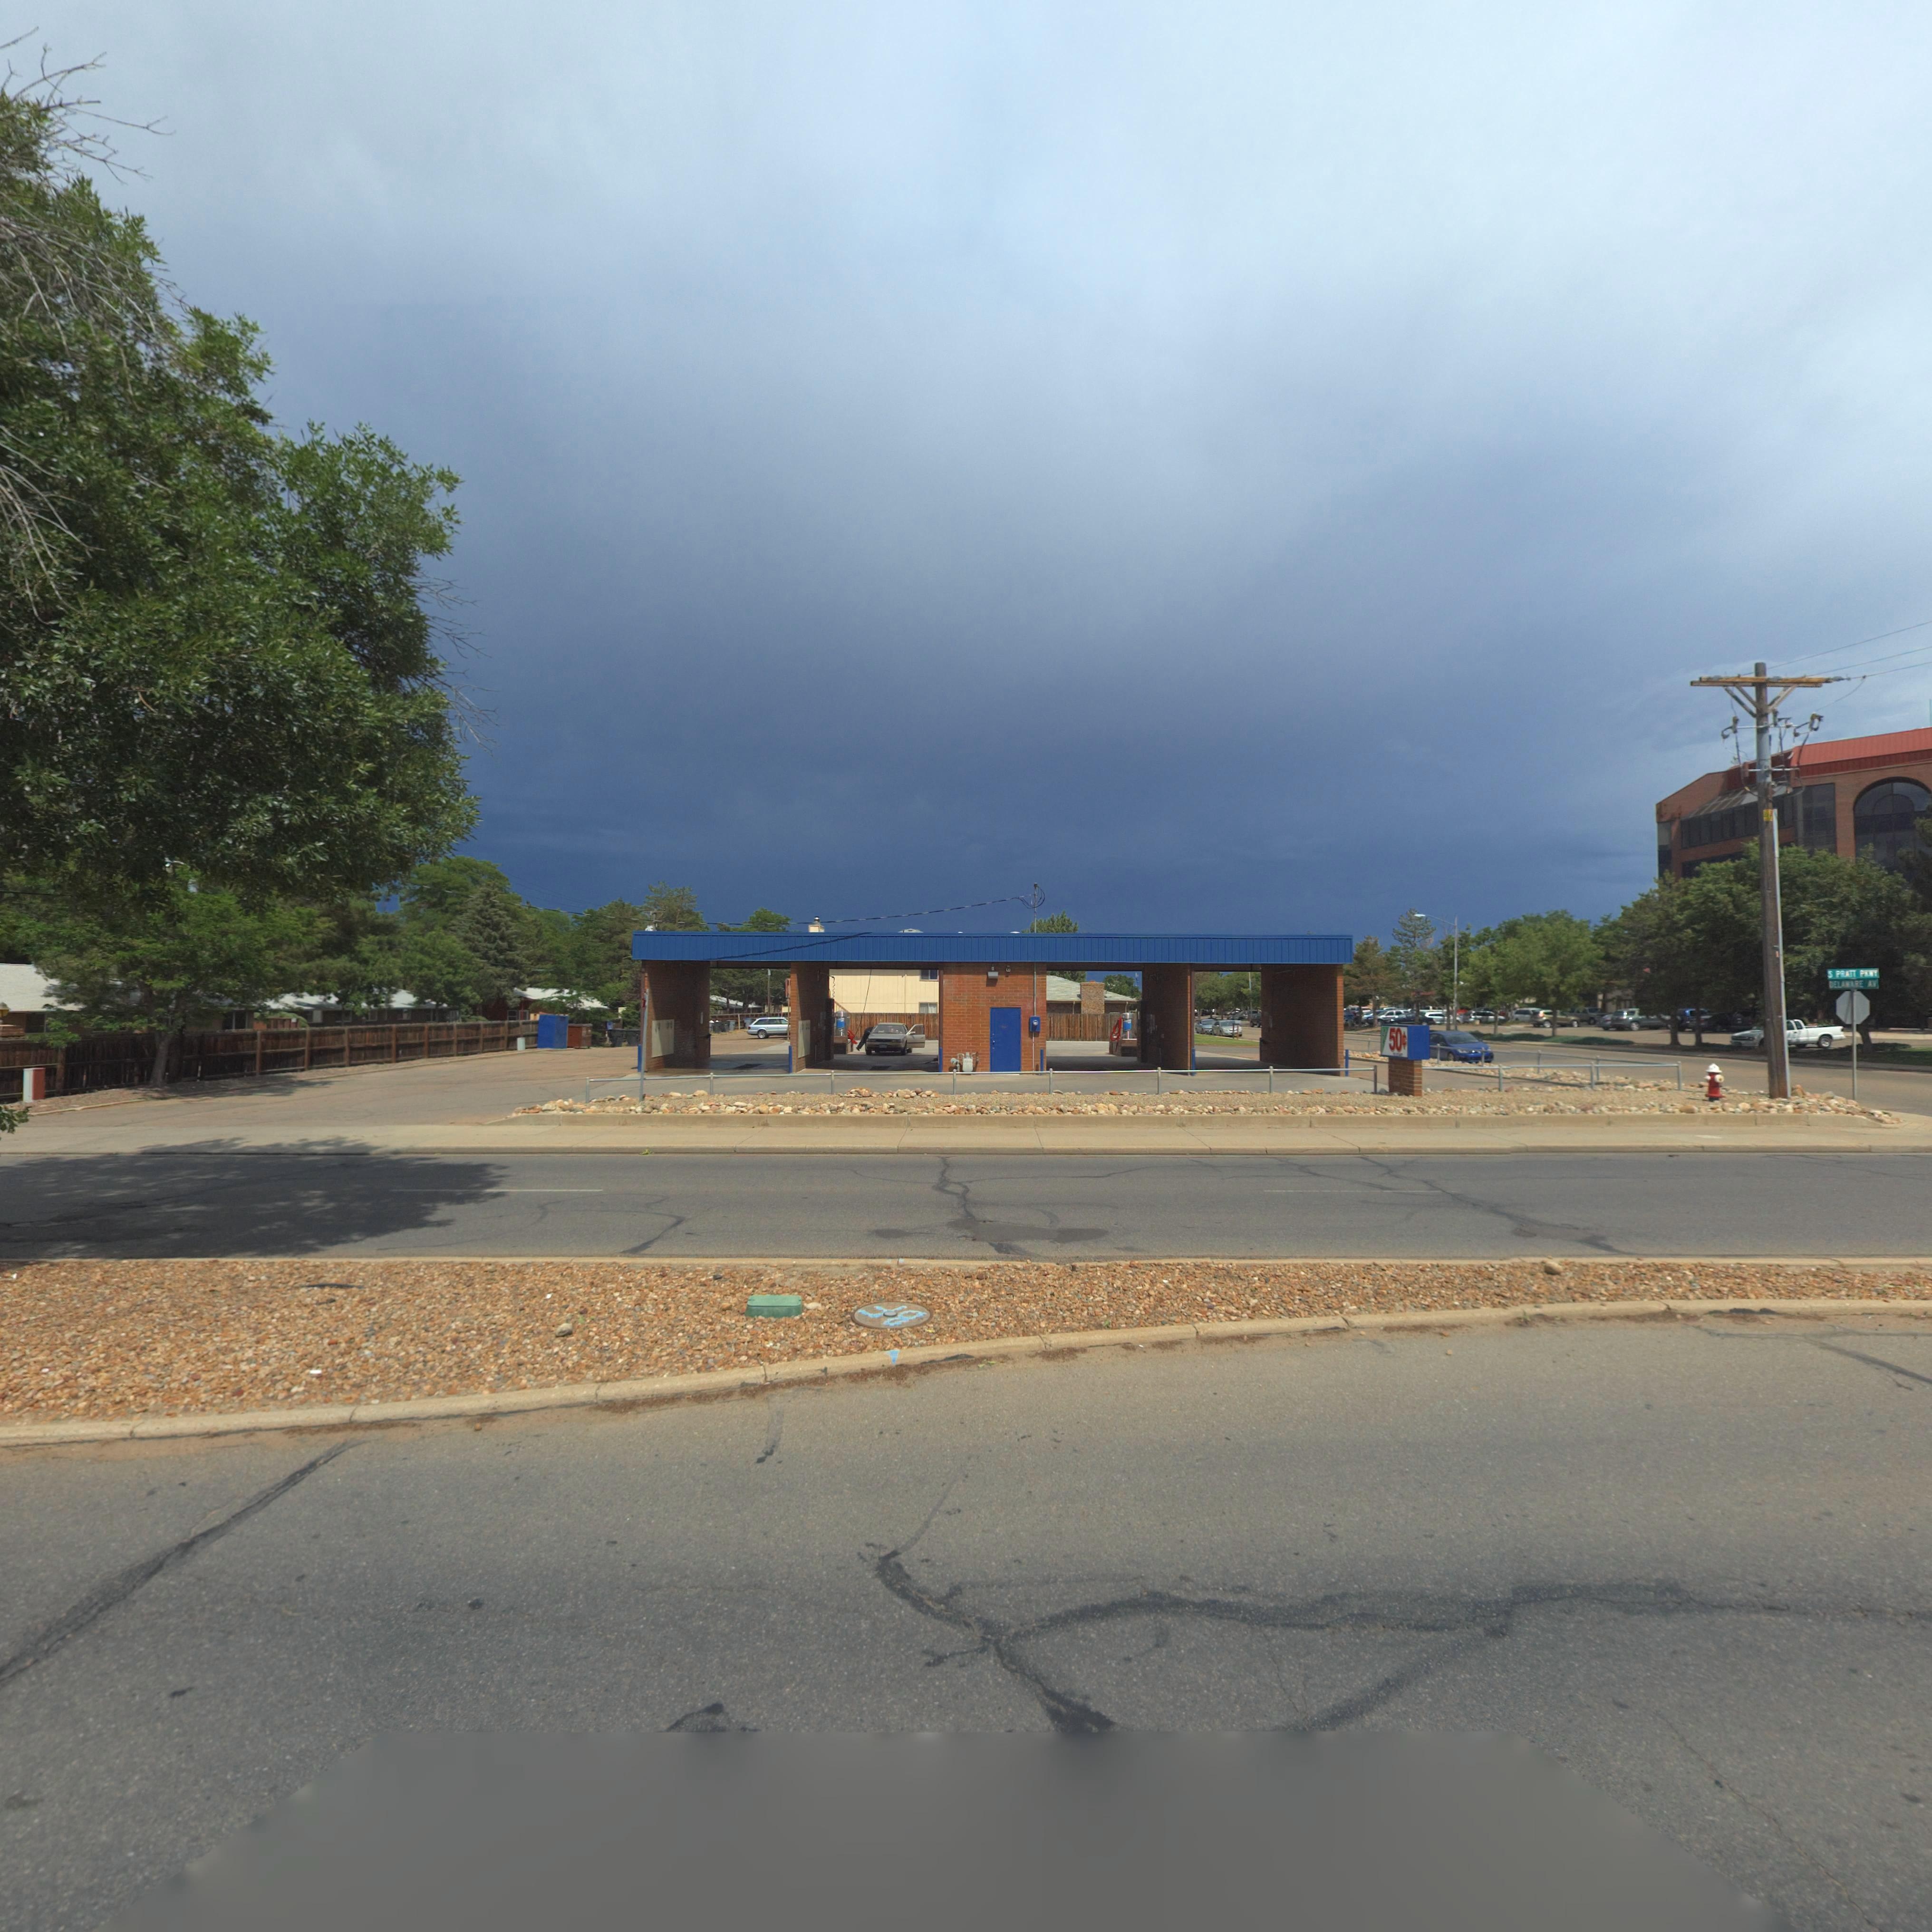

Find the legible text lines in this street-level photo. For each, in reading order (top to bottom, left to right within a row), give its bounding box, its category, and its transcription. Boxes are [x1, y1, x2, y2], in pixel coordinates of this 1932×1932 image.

[1827, 969, 1879, 978] StreetName: S PRATT PKWY
[1828, 979, 1877, 988] StreetName: DELEWARE AV